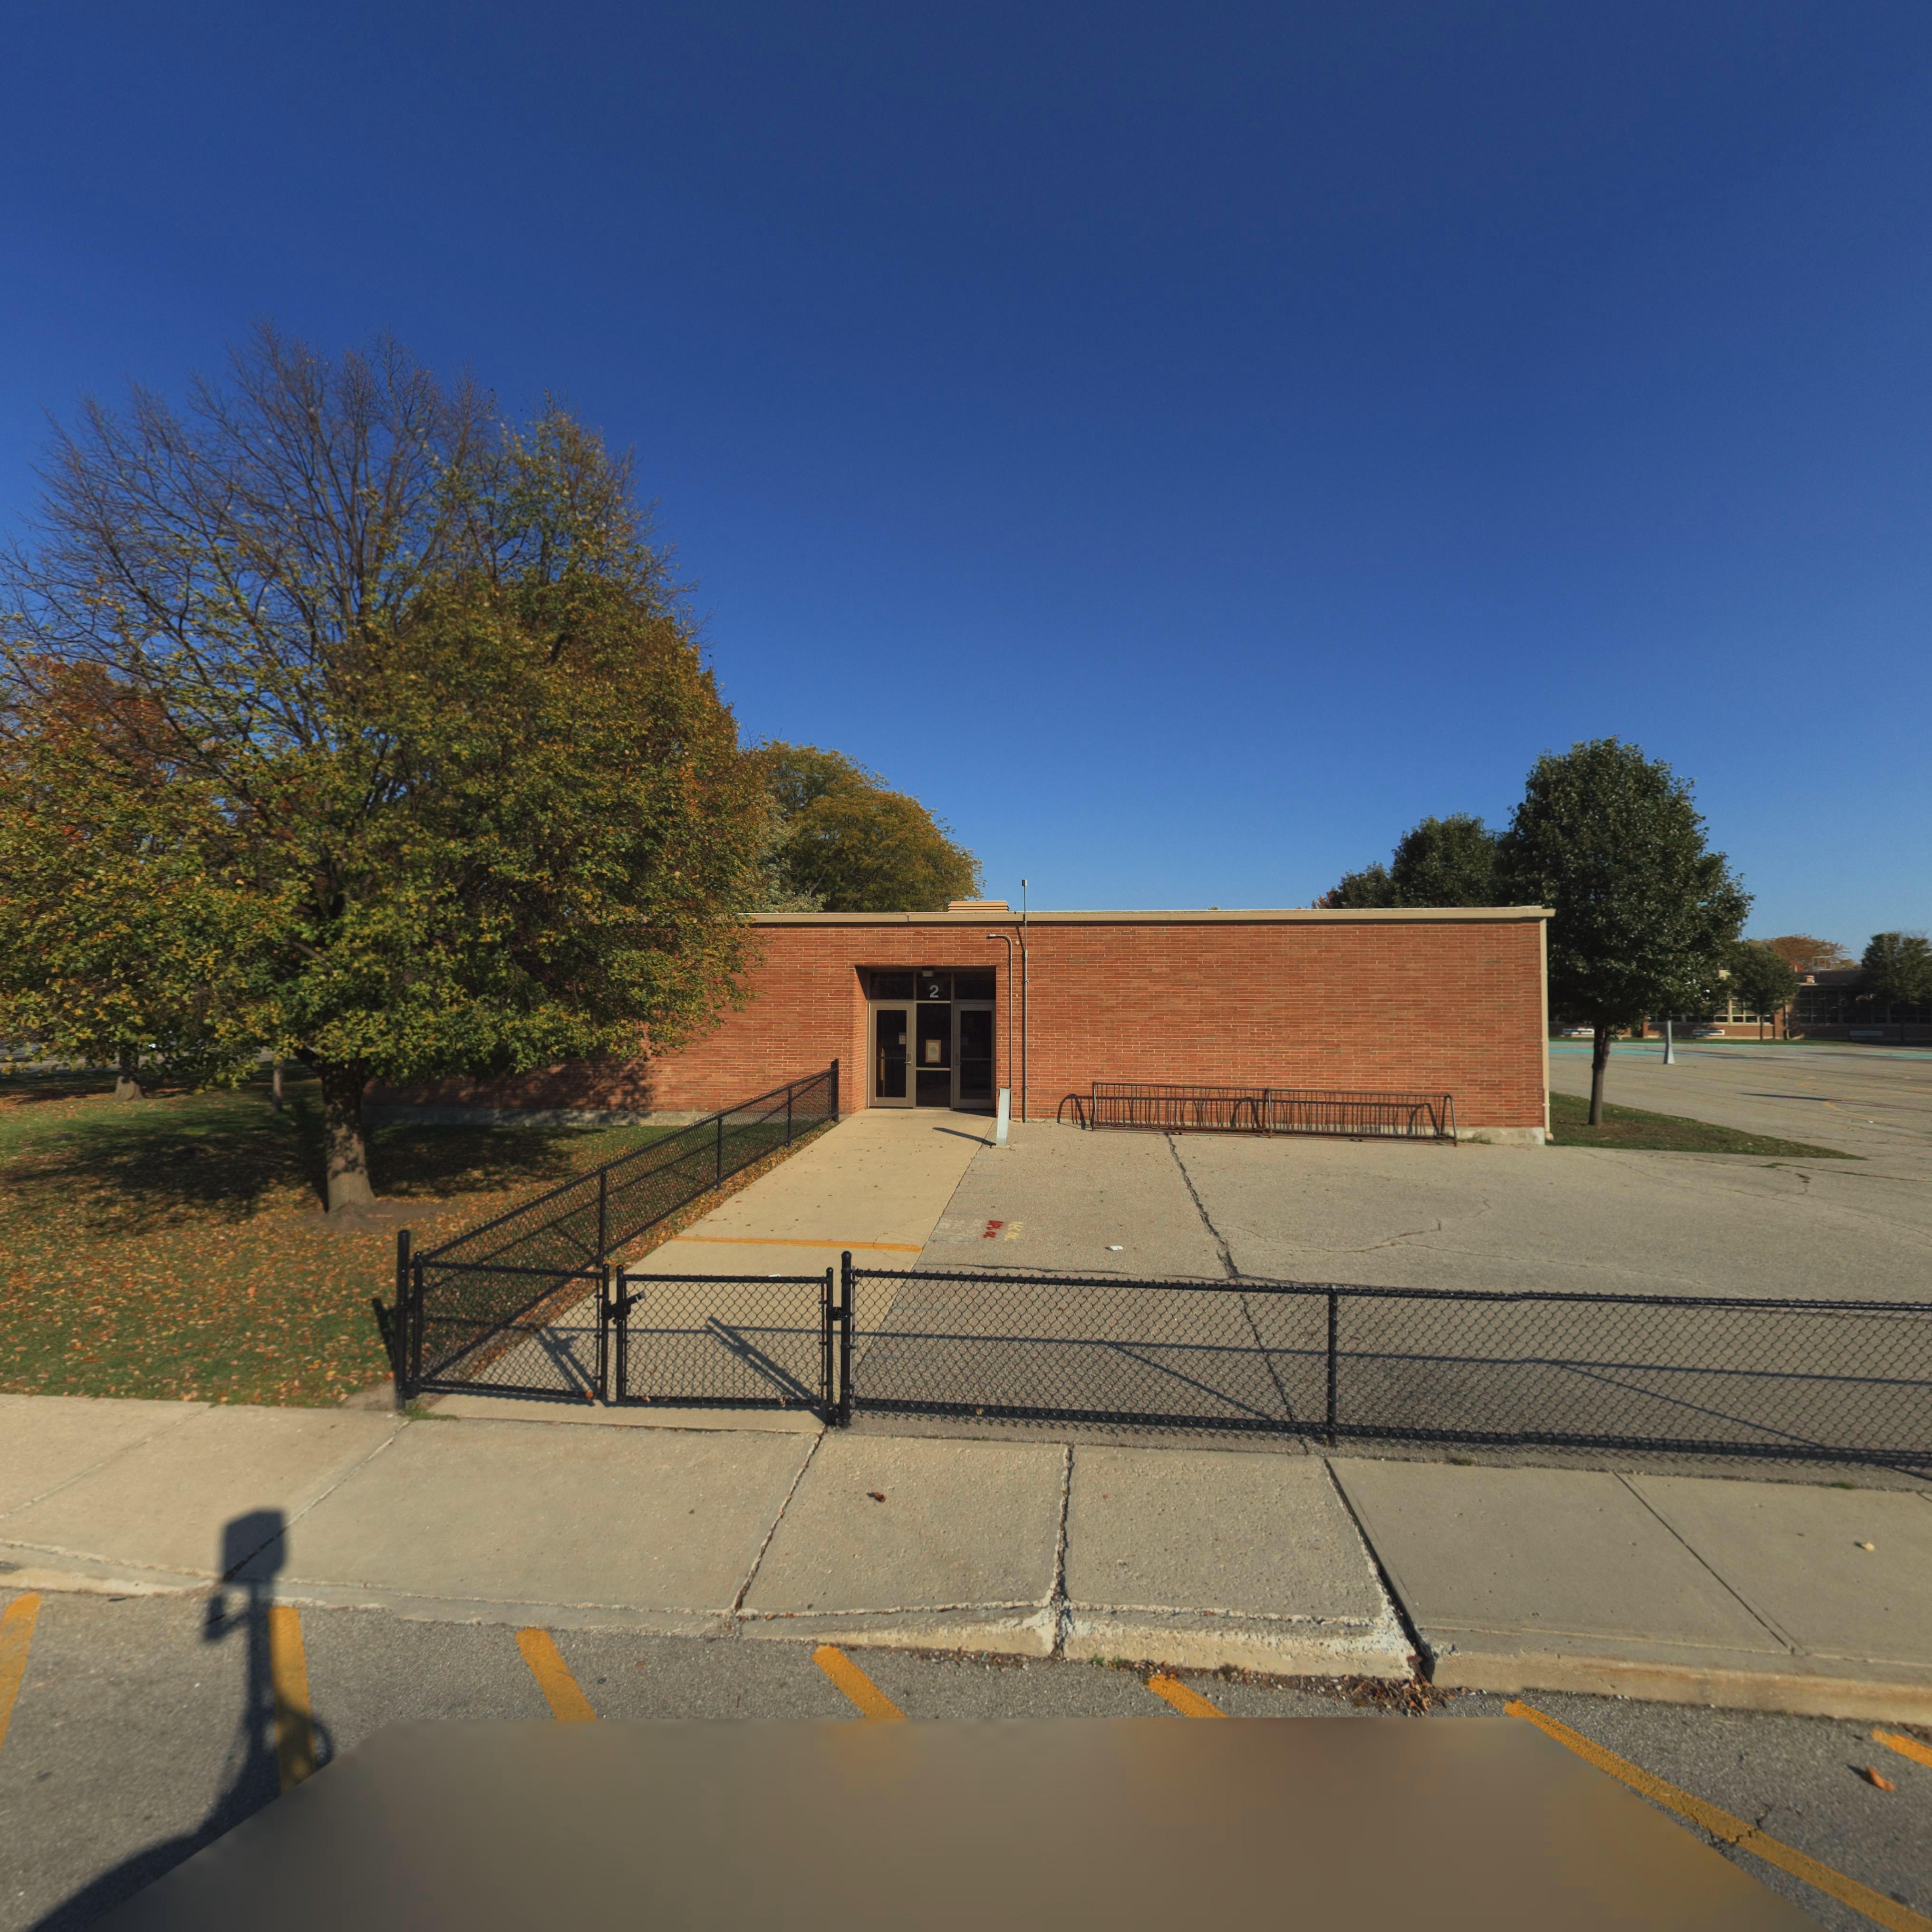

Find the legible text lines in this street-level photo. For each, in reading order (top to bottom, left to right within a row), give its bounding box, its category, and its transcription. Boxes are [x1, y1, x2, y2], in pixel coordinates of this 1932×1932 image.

[929, 985, 939, 998] StreetNumber: 2